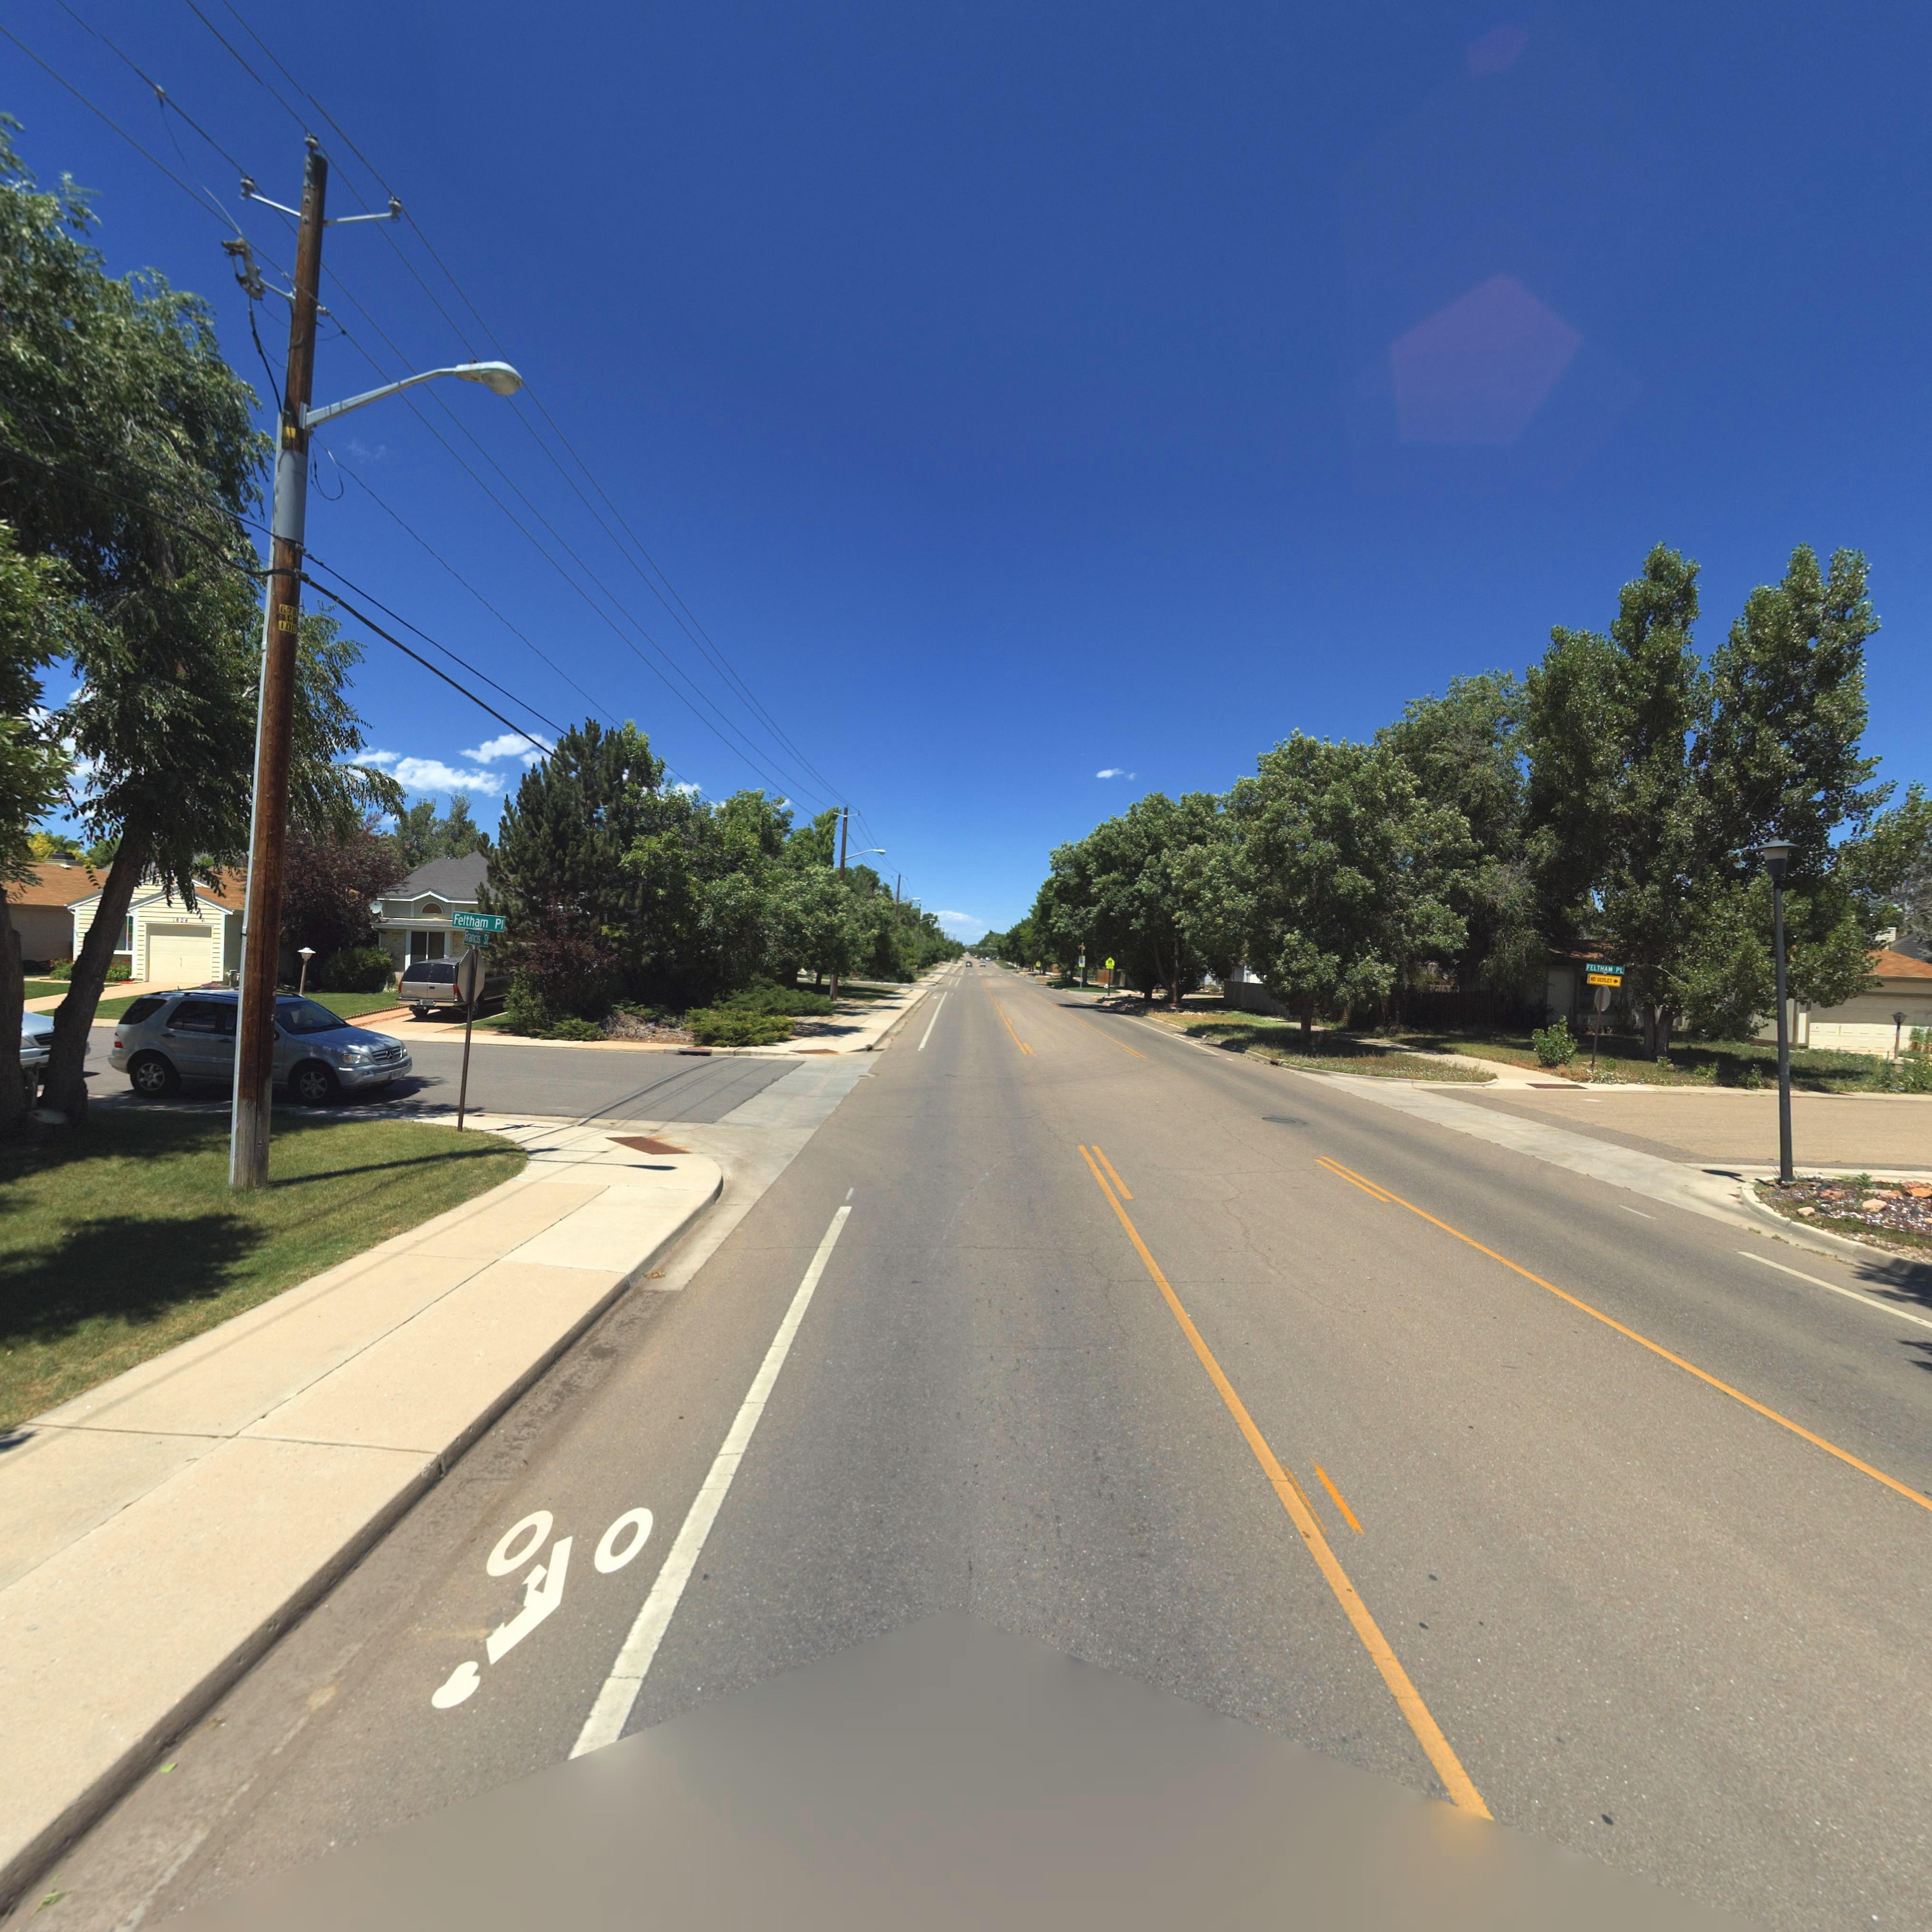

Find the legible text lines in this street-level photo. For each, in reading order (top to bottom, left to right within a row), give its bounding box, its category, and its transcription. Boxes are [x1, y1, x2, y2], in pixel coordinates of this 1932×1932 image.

[453, 912, 504, 930] StreetName: Feltham Pl
[463, 928, 489, 946] StreetName: Francis St
[1586, 964, 1623, 973] StreetName: FELTHAM PL